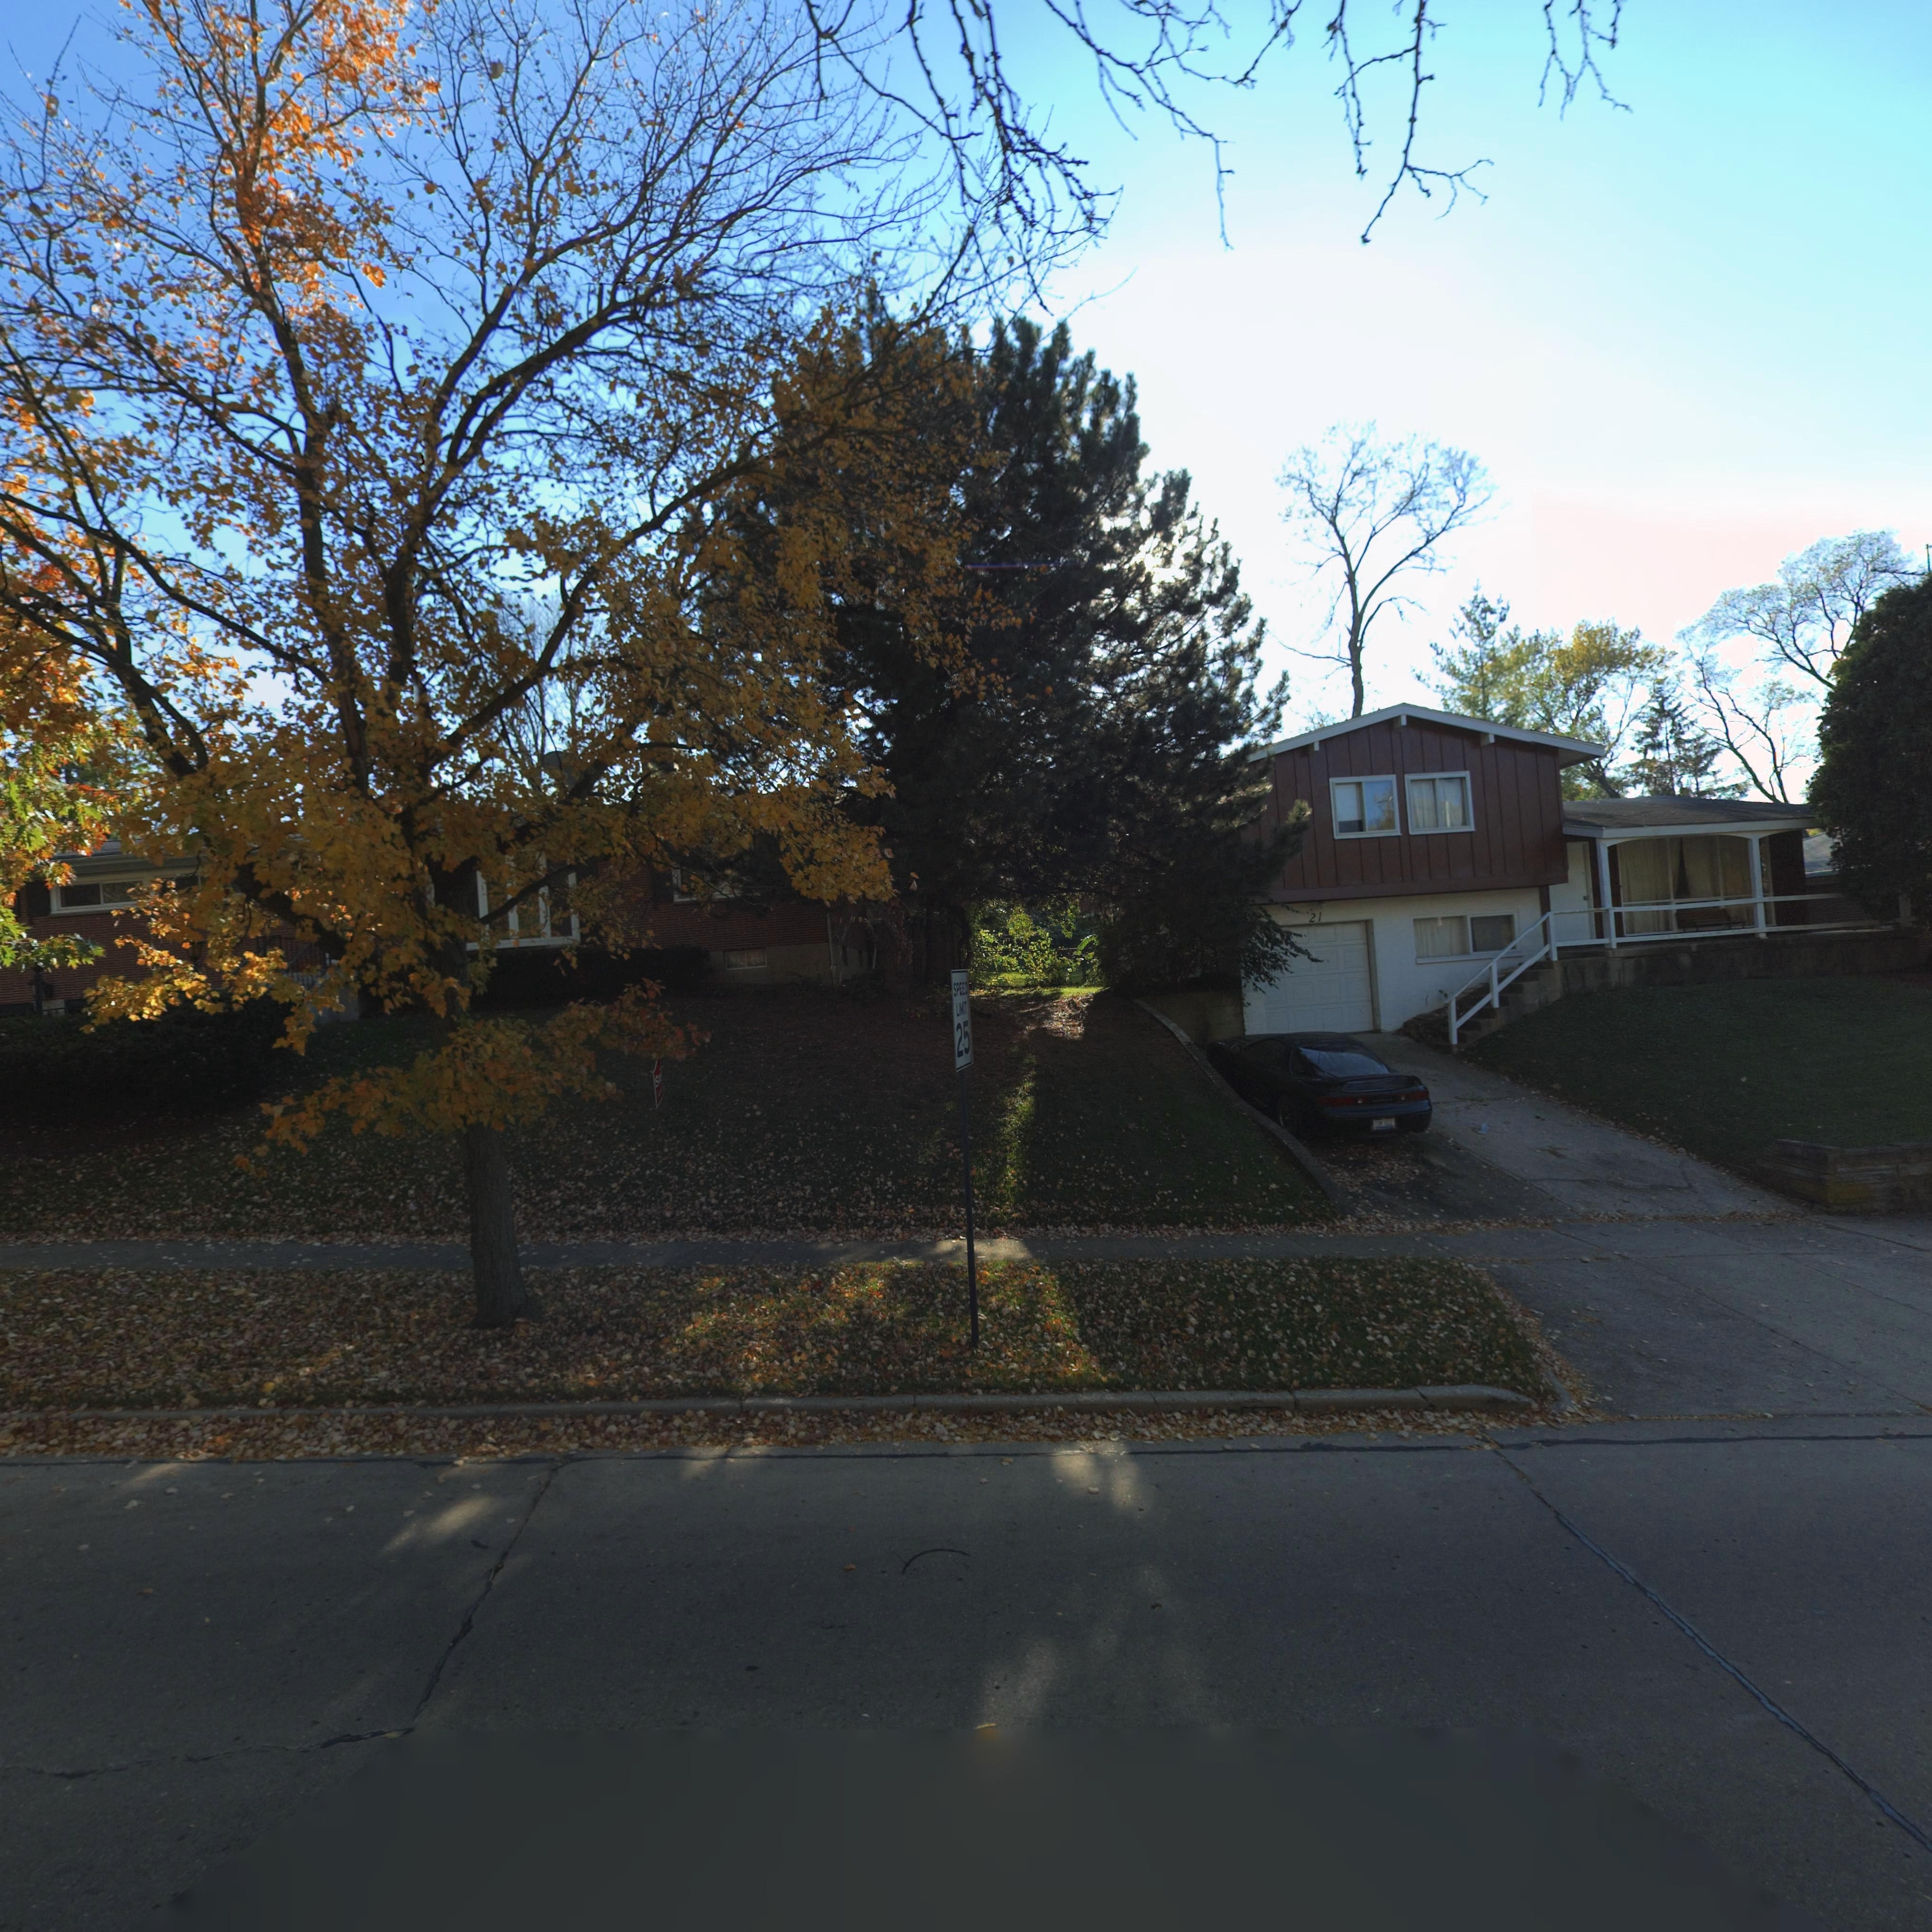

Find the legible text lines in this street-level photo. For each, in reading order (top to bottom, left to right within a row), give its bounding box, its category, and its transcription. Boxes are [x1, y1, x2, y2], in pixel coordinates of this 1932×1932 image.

[1308, 911, 1323, 923] StreetNumber: 21